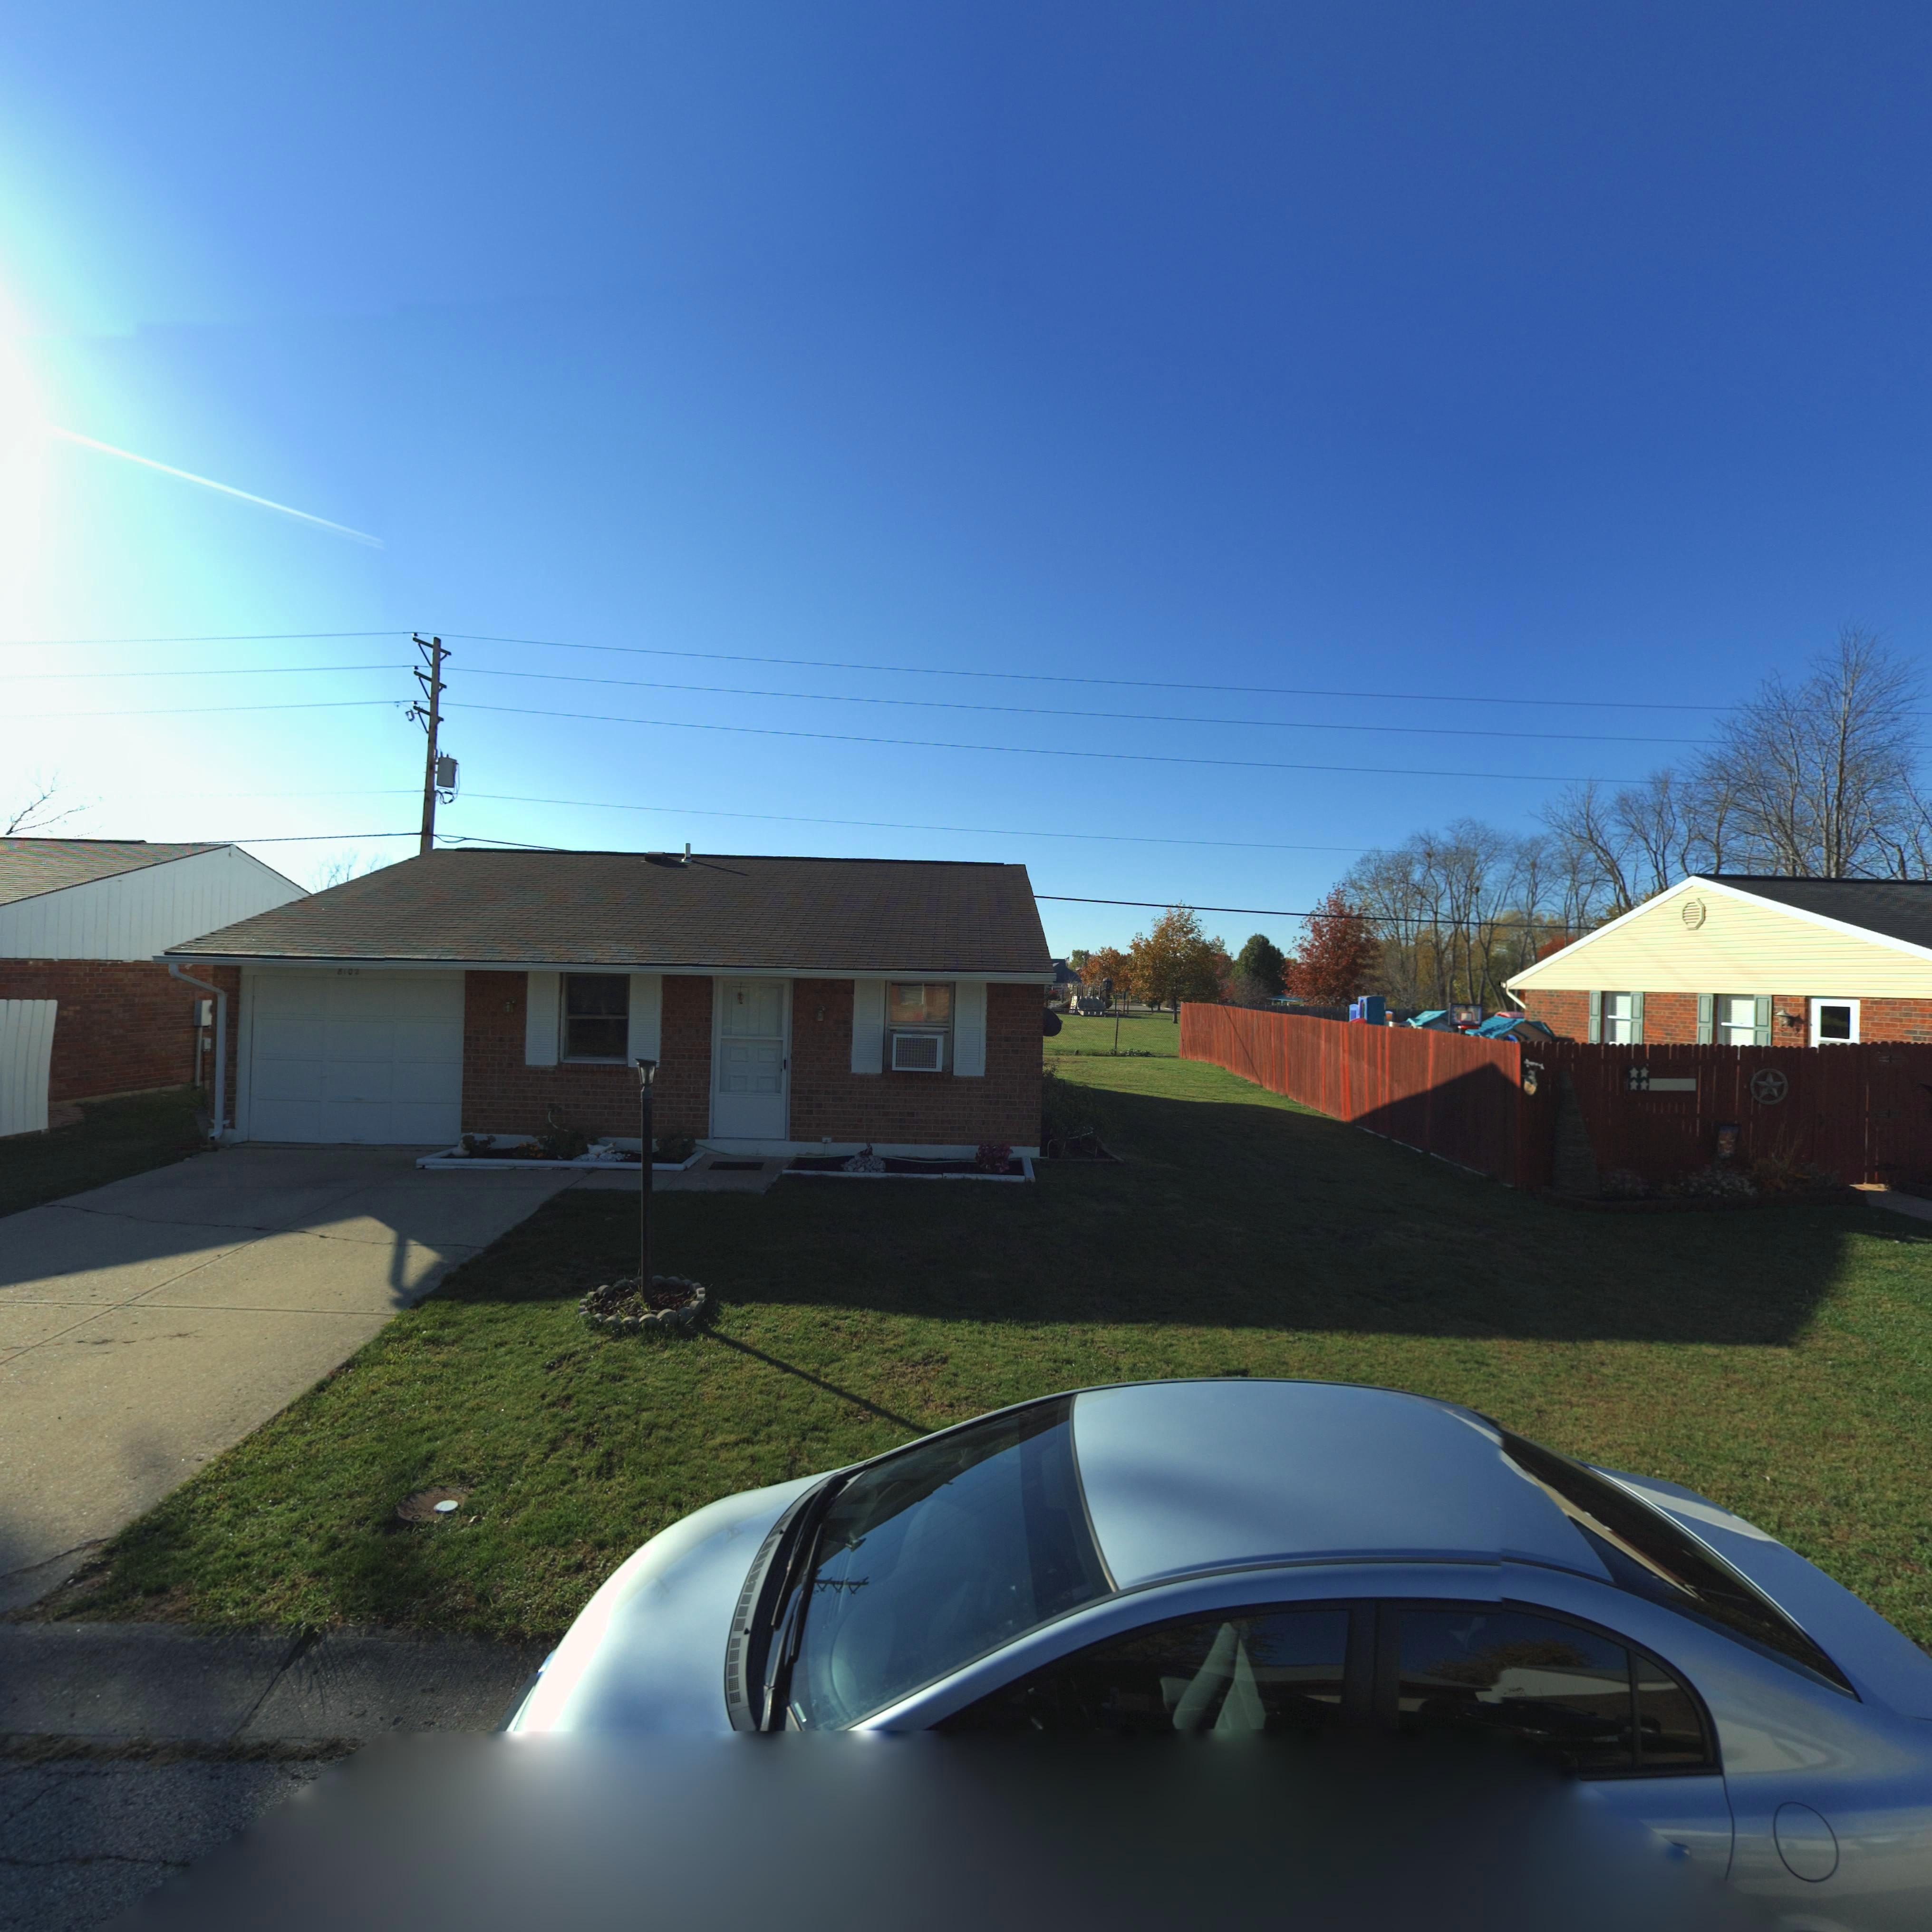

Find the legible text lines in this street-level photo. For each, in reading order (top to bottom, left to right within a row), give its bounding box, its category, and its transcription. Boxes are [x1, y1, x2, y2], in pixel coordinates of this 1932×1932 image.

[336, 966, 360, 976] StreetNumber: 8102